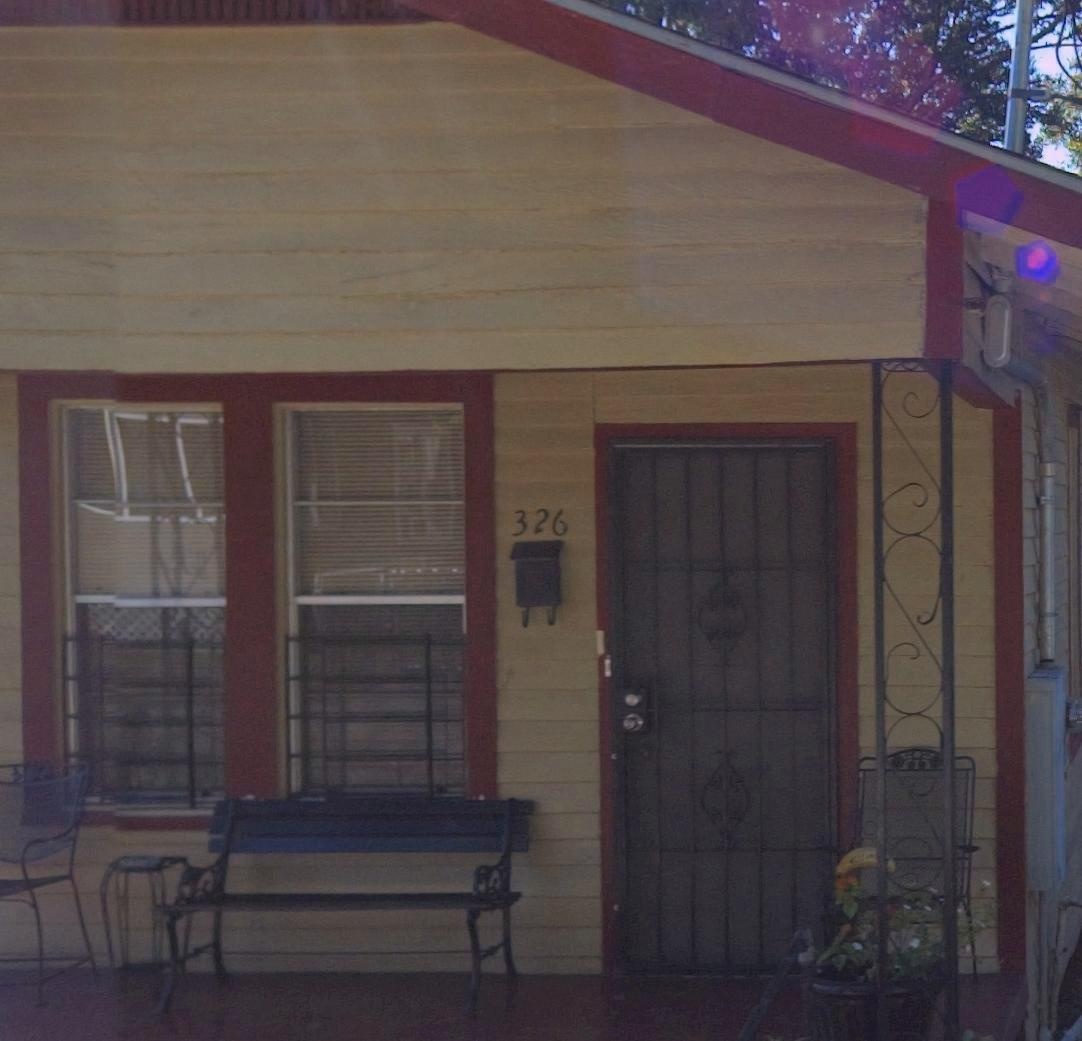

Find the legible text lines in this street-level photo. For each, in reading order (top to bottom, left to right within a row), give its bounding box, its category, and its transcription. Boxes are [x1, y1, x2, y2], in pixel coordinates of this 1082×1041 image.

[510, 505, 571, 541] StreetNumber: 326